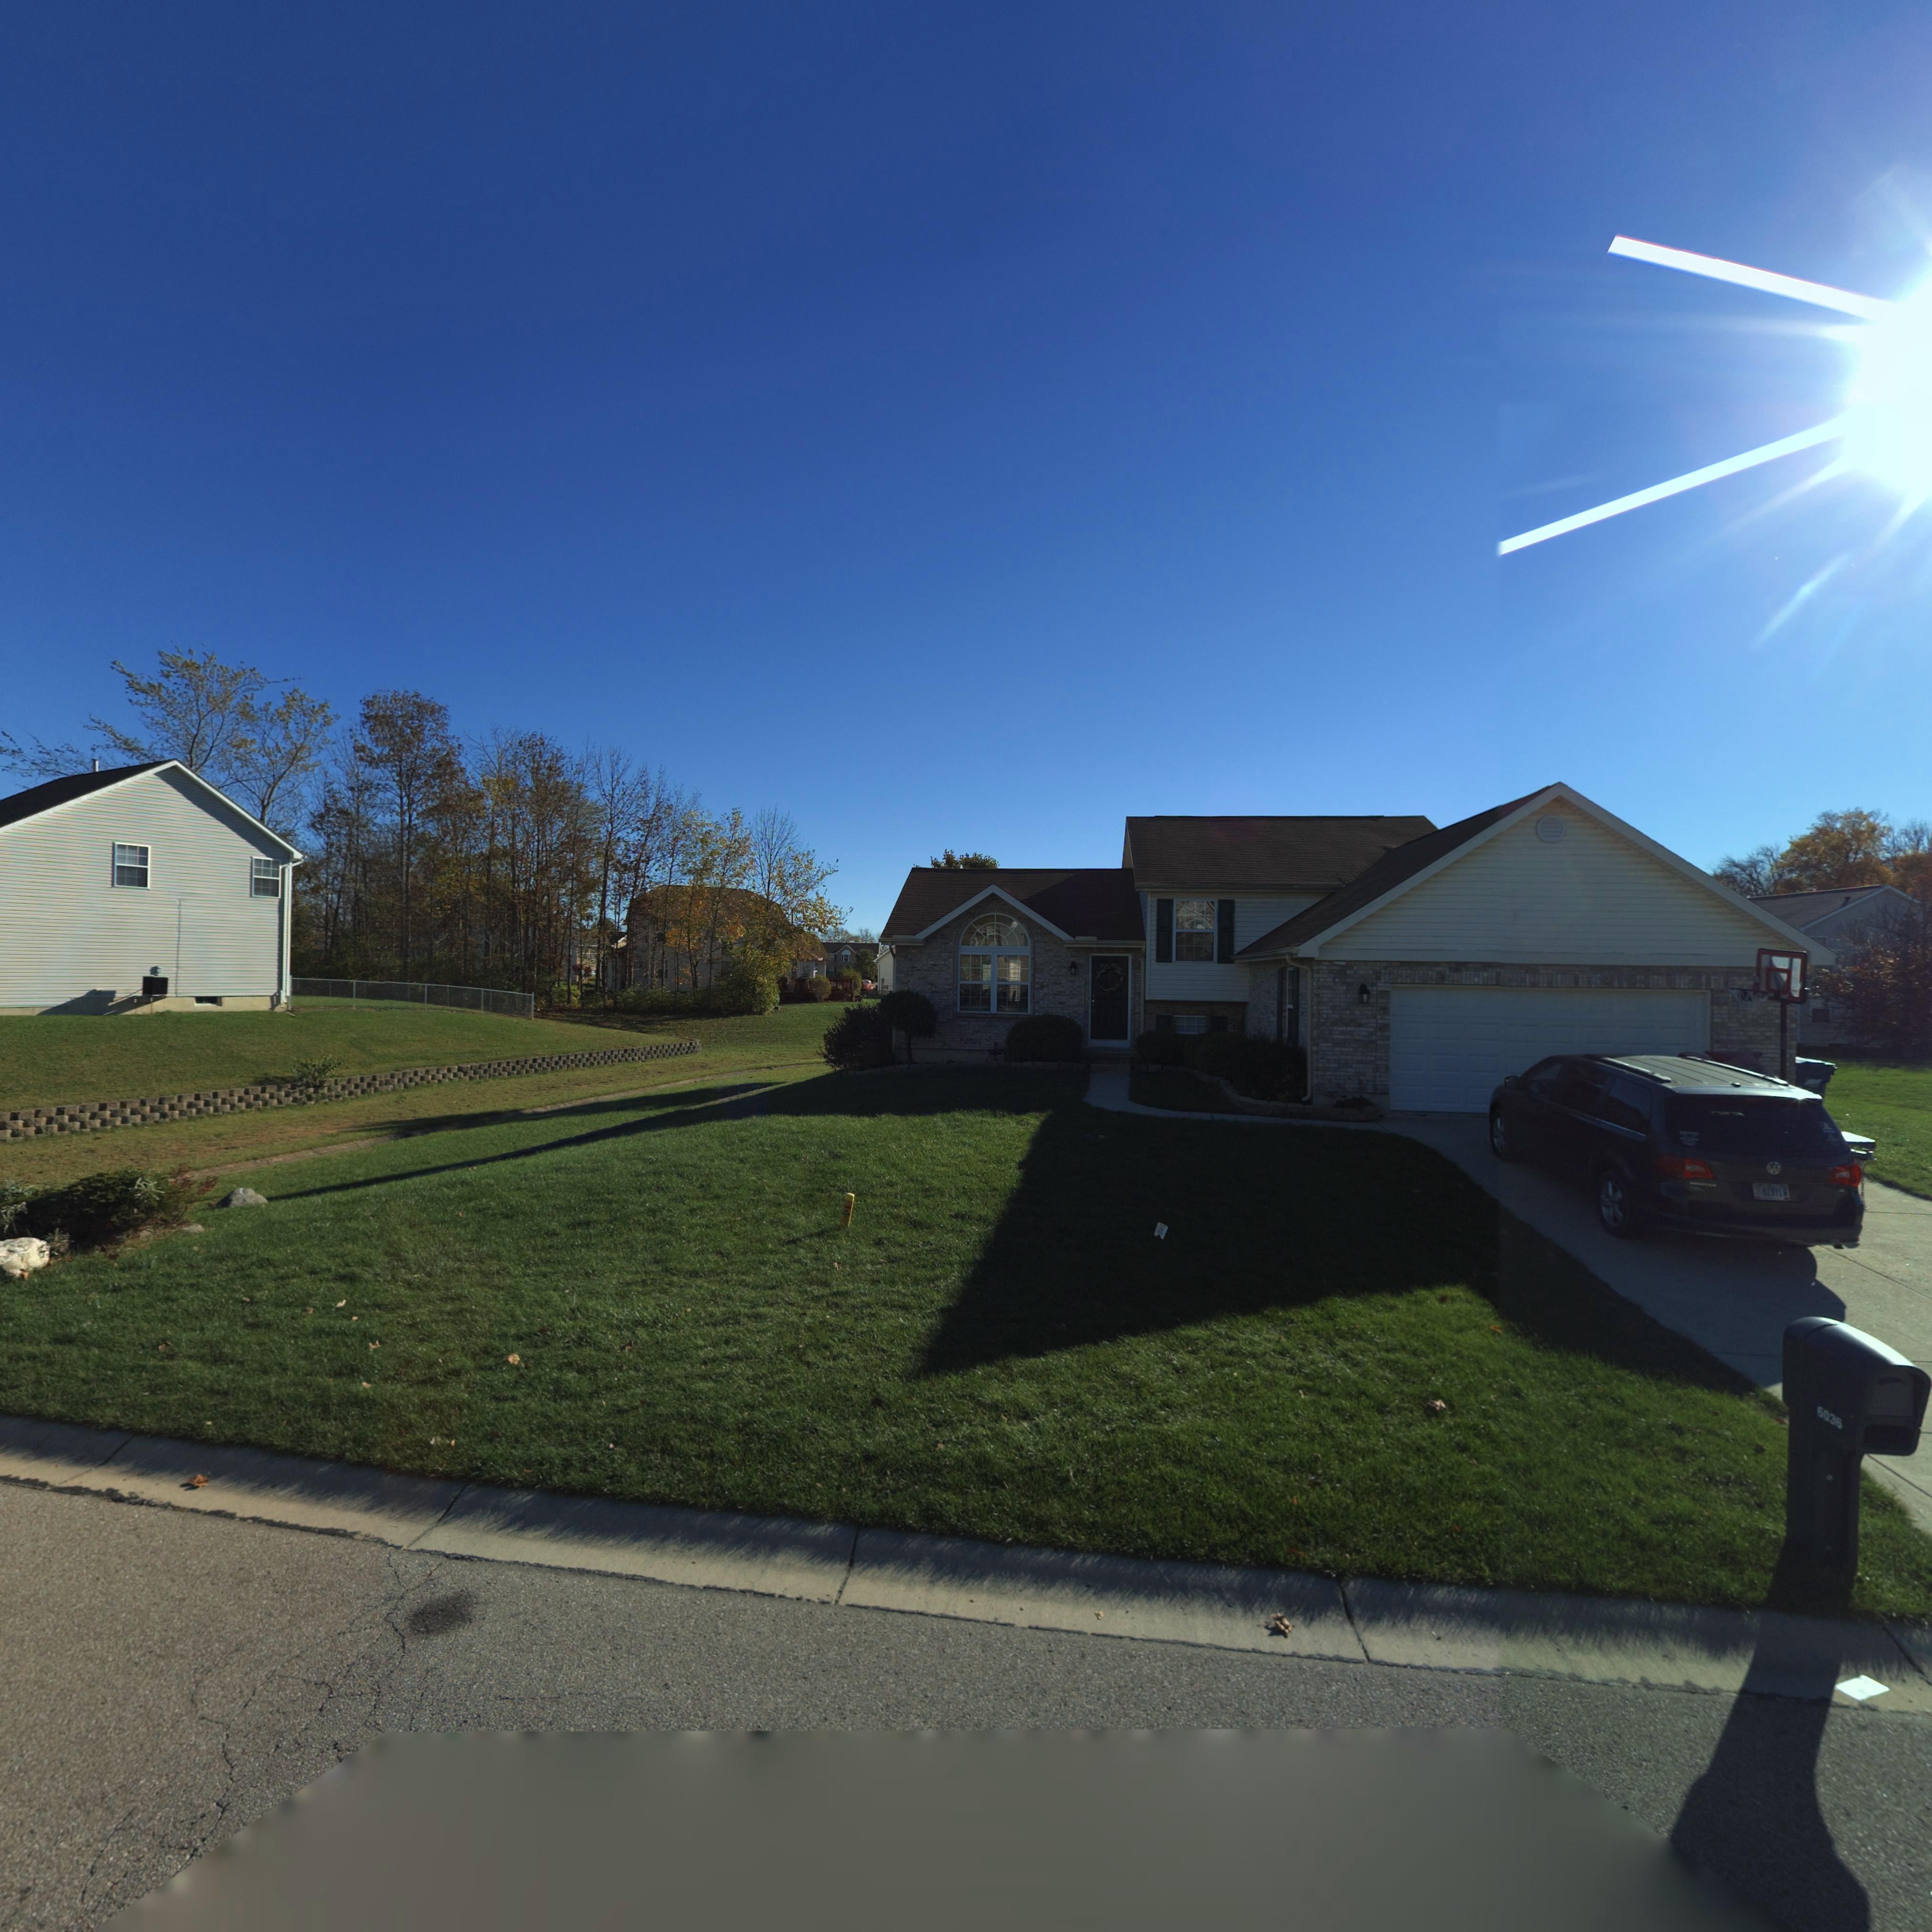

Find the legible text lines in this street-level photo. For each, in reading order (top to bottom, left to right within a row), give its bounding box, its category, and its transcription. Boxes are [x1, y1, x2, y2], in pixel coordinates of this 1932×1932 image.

[1761, 1187, 1789, 1198] None: 619***
[1816, 1404, 1844, 1431] StreetNumber: 6036